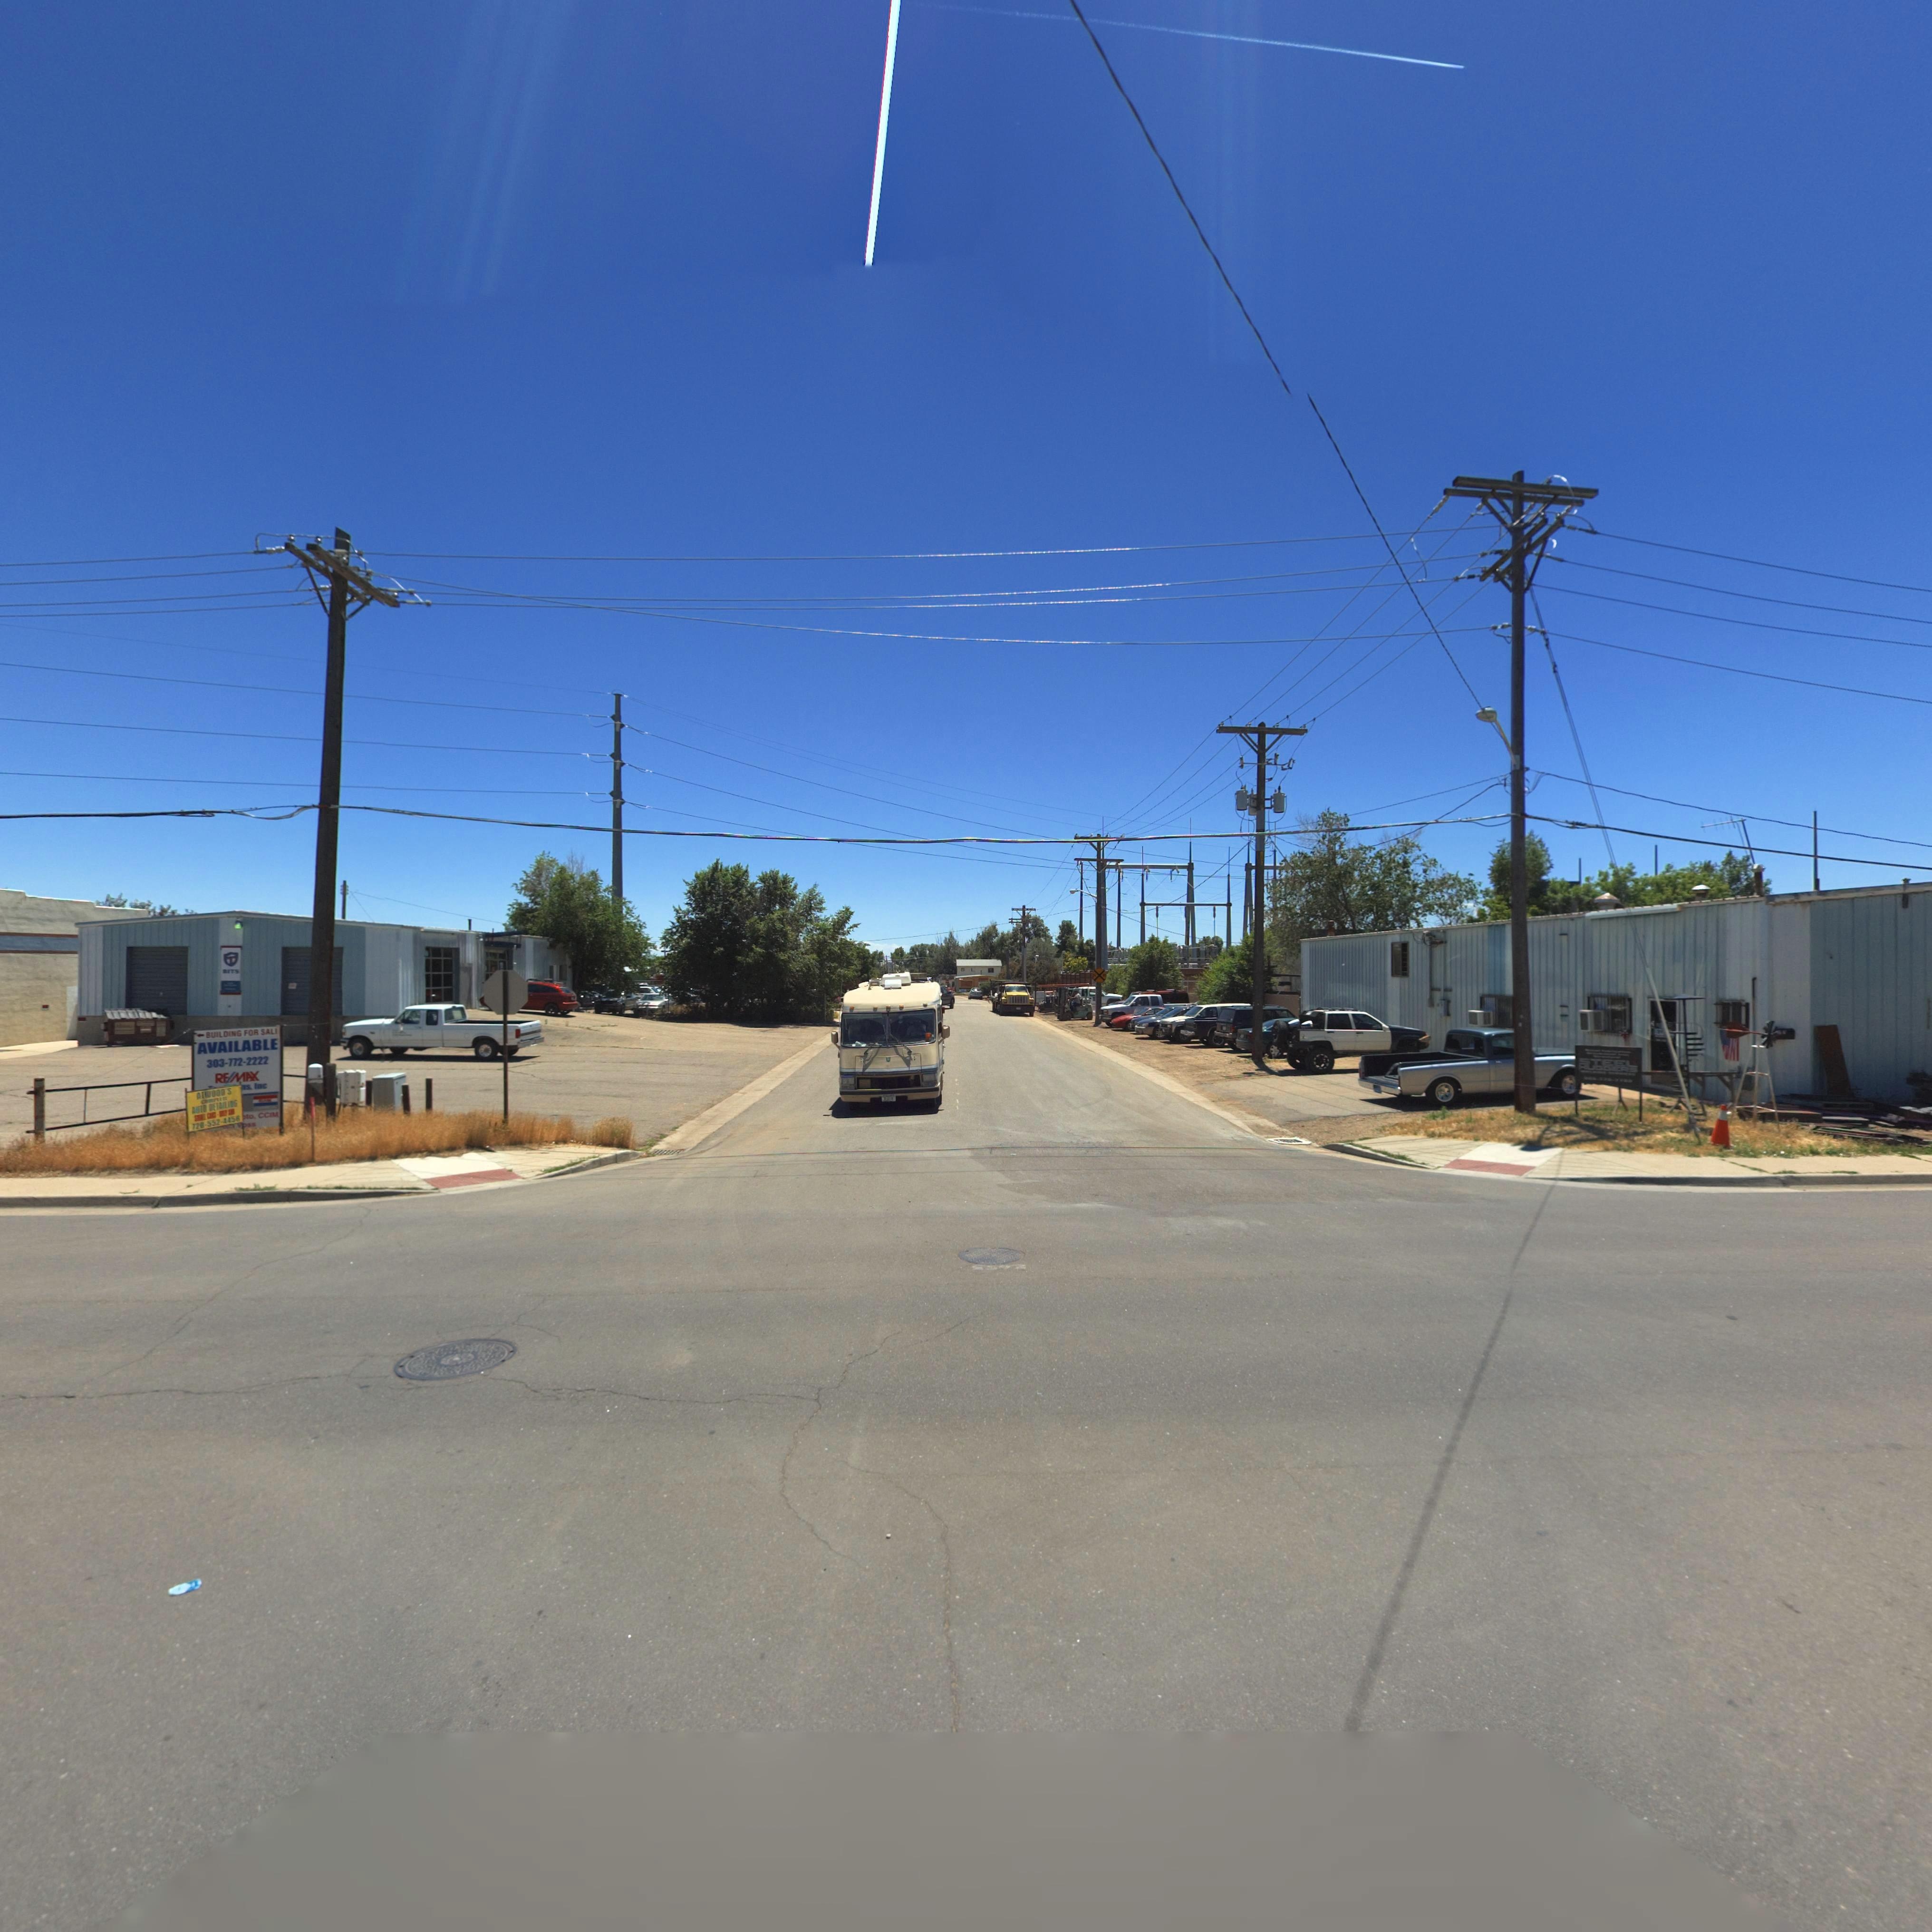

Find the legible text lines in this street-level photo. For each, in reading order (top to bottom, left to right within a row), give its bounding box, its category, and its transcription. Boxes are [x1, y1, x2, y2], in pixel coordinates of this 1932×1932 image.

[222, 969, 239, 974] BusinessName: BITS
[1578, 1057, 1638, 1068] BusinessName: STEEL
[1578, 1063, 1638, 1073] BusinessName: HUGGERS